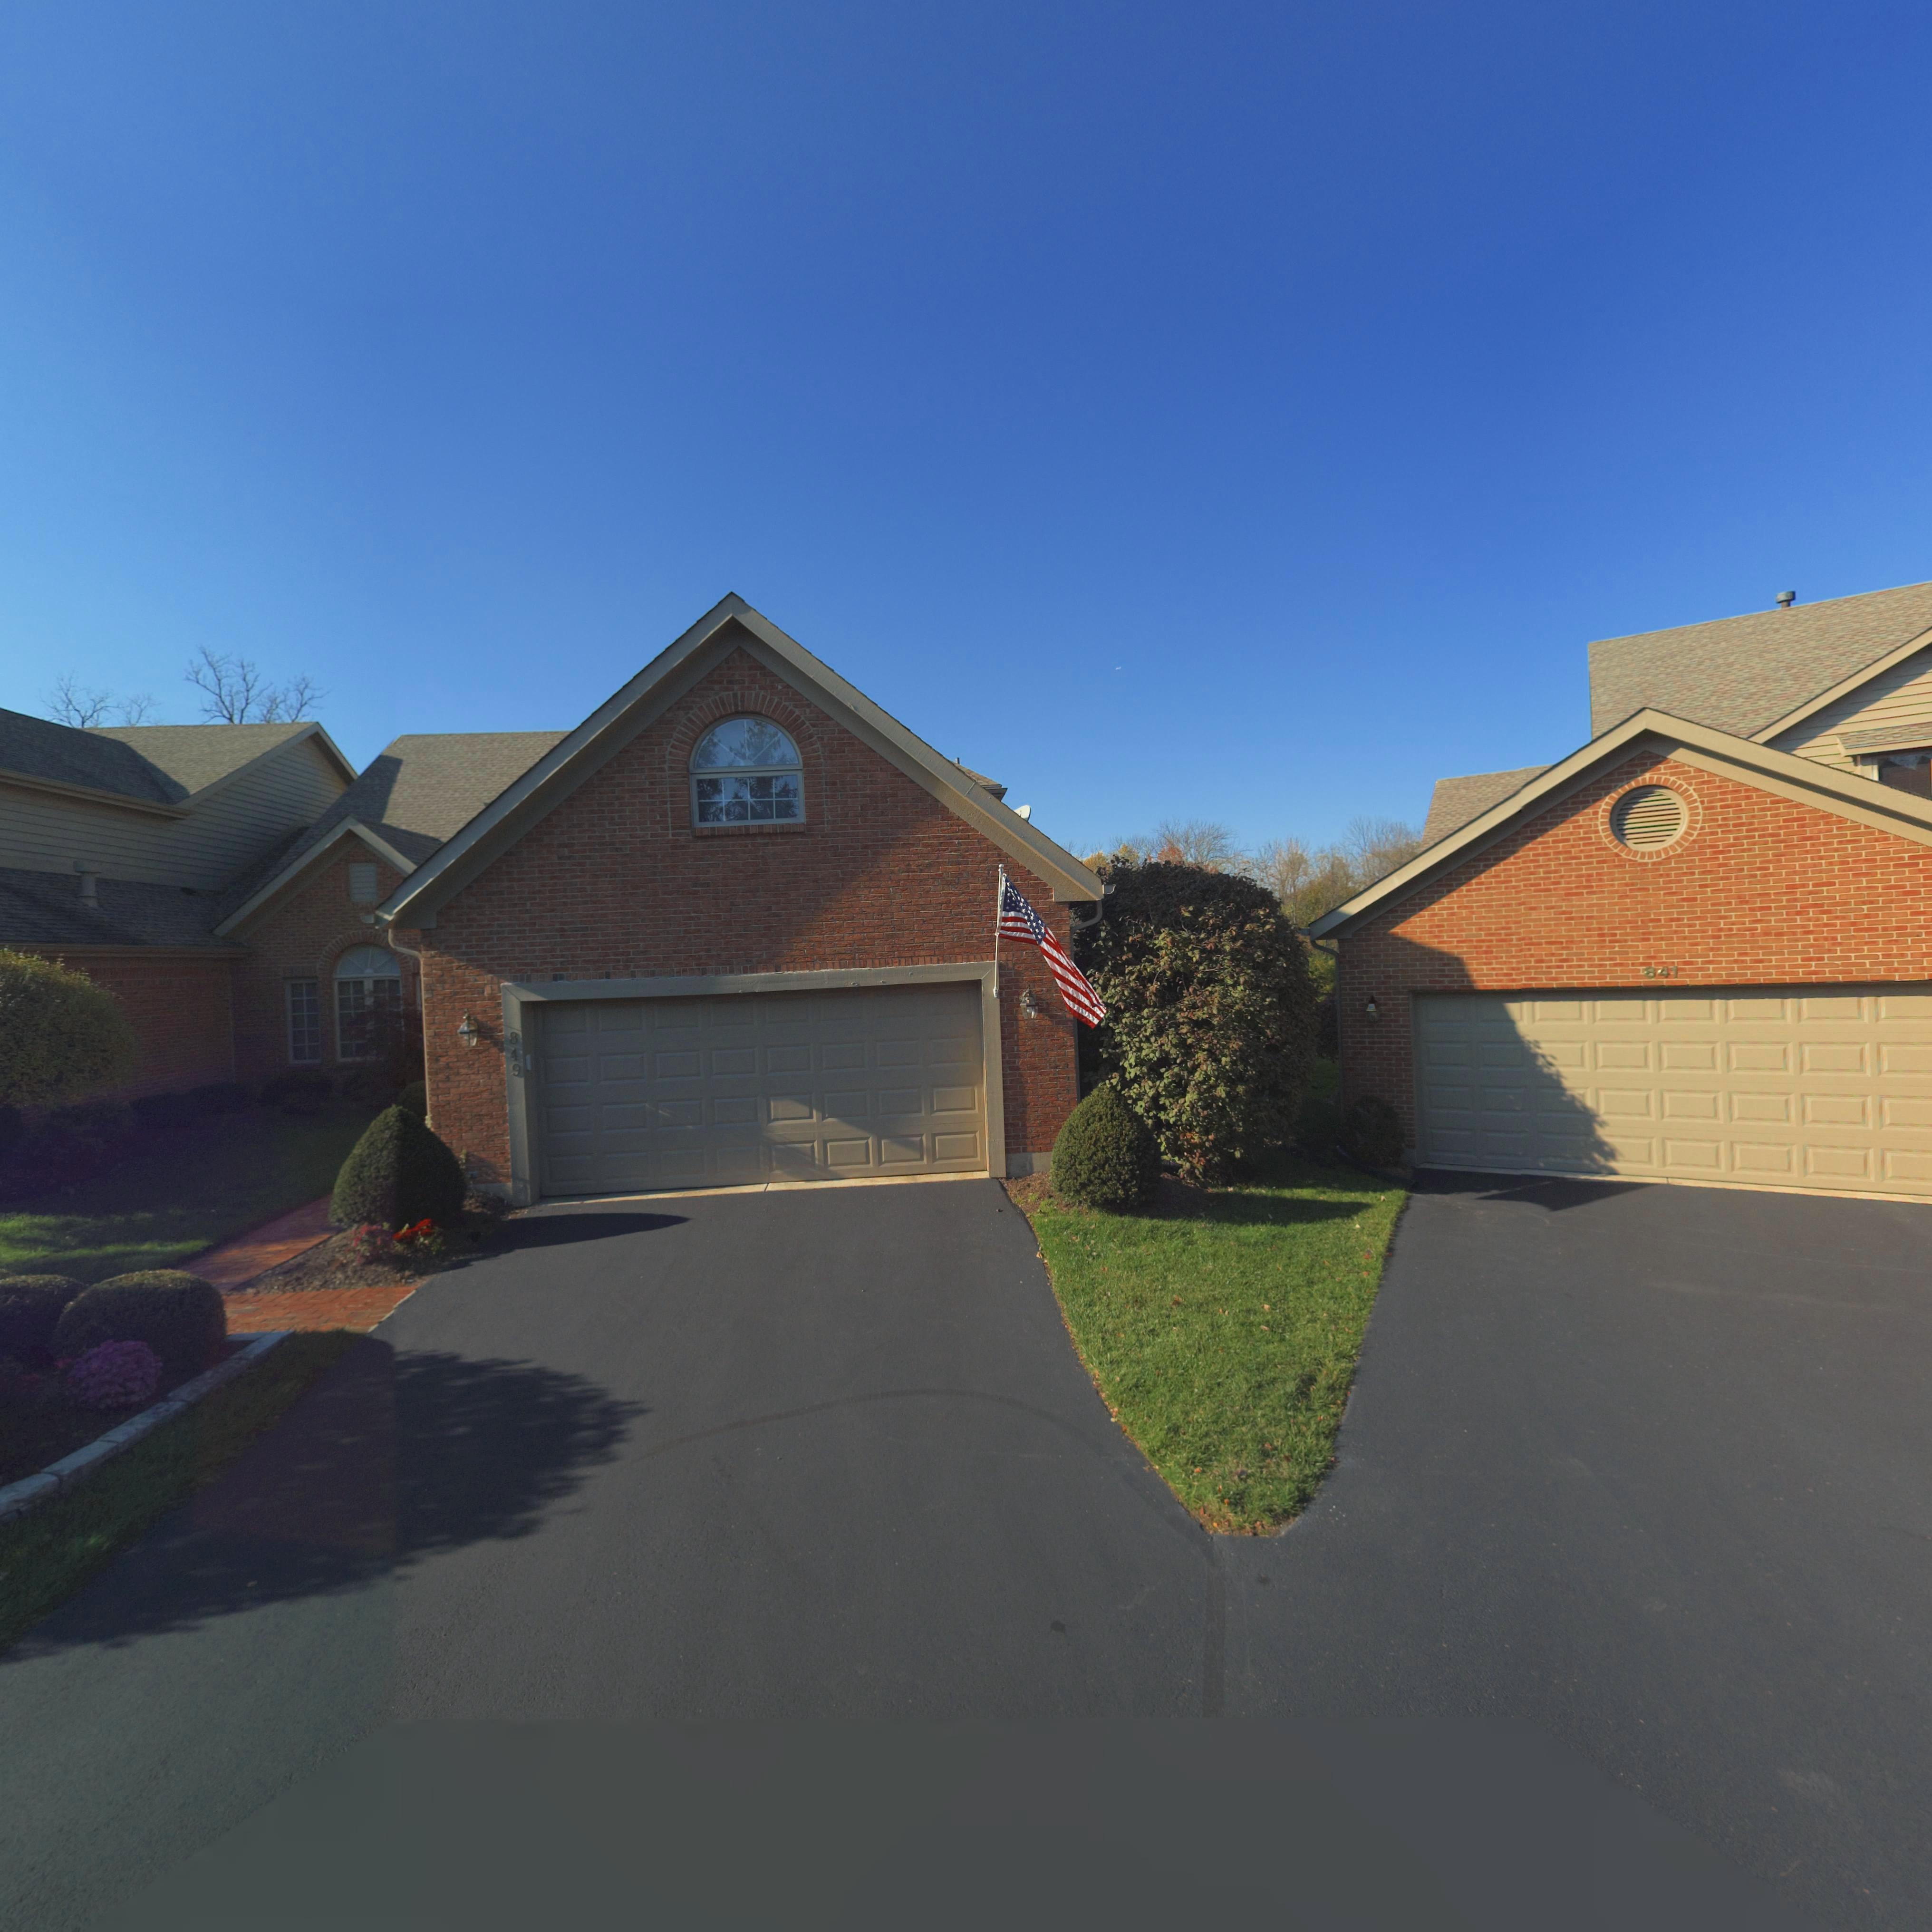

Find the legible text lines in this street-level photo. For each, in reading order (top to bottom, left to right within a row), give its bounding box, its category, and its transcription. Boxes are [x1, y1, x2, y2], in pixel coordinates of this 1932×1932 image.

[1643, 965, 1680, 980] StreetNumber: 841
[508, 1030, 522, 1078] StreetNumber: 849